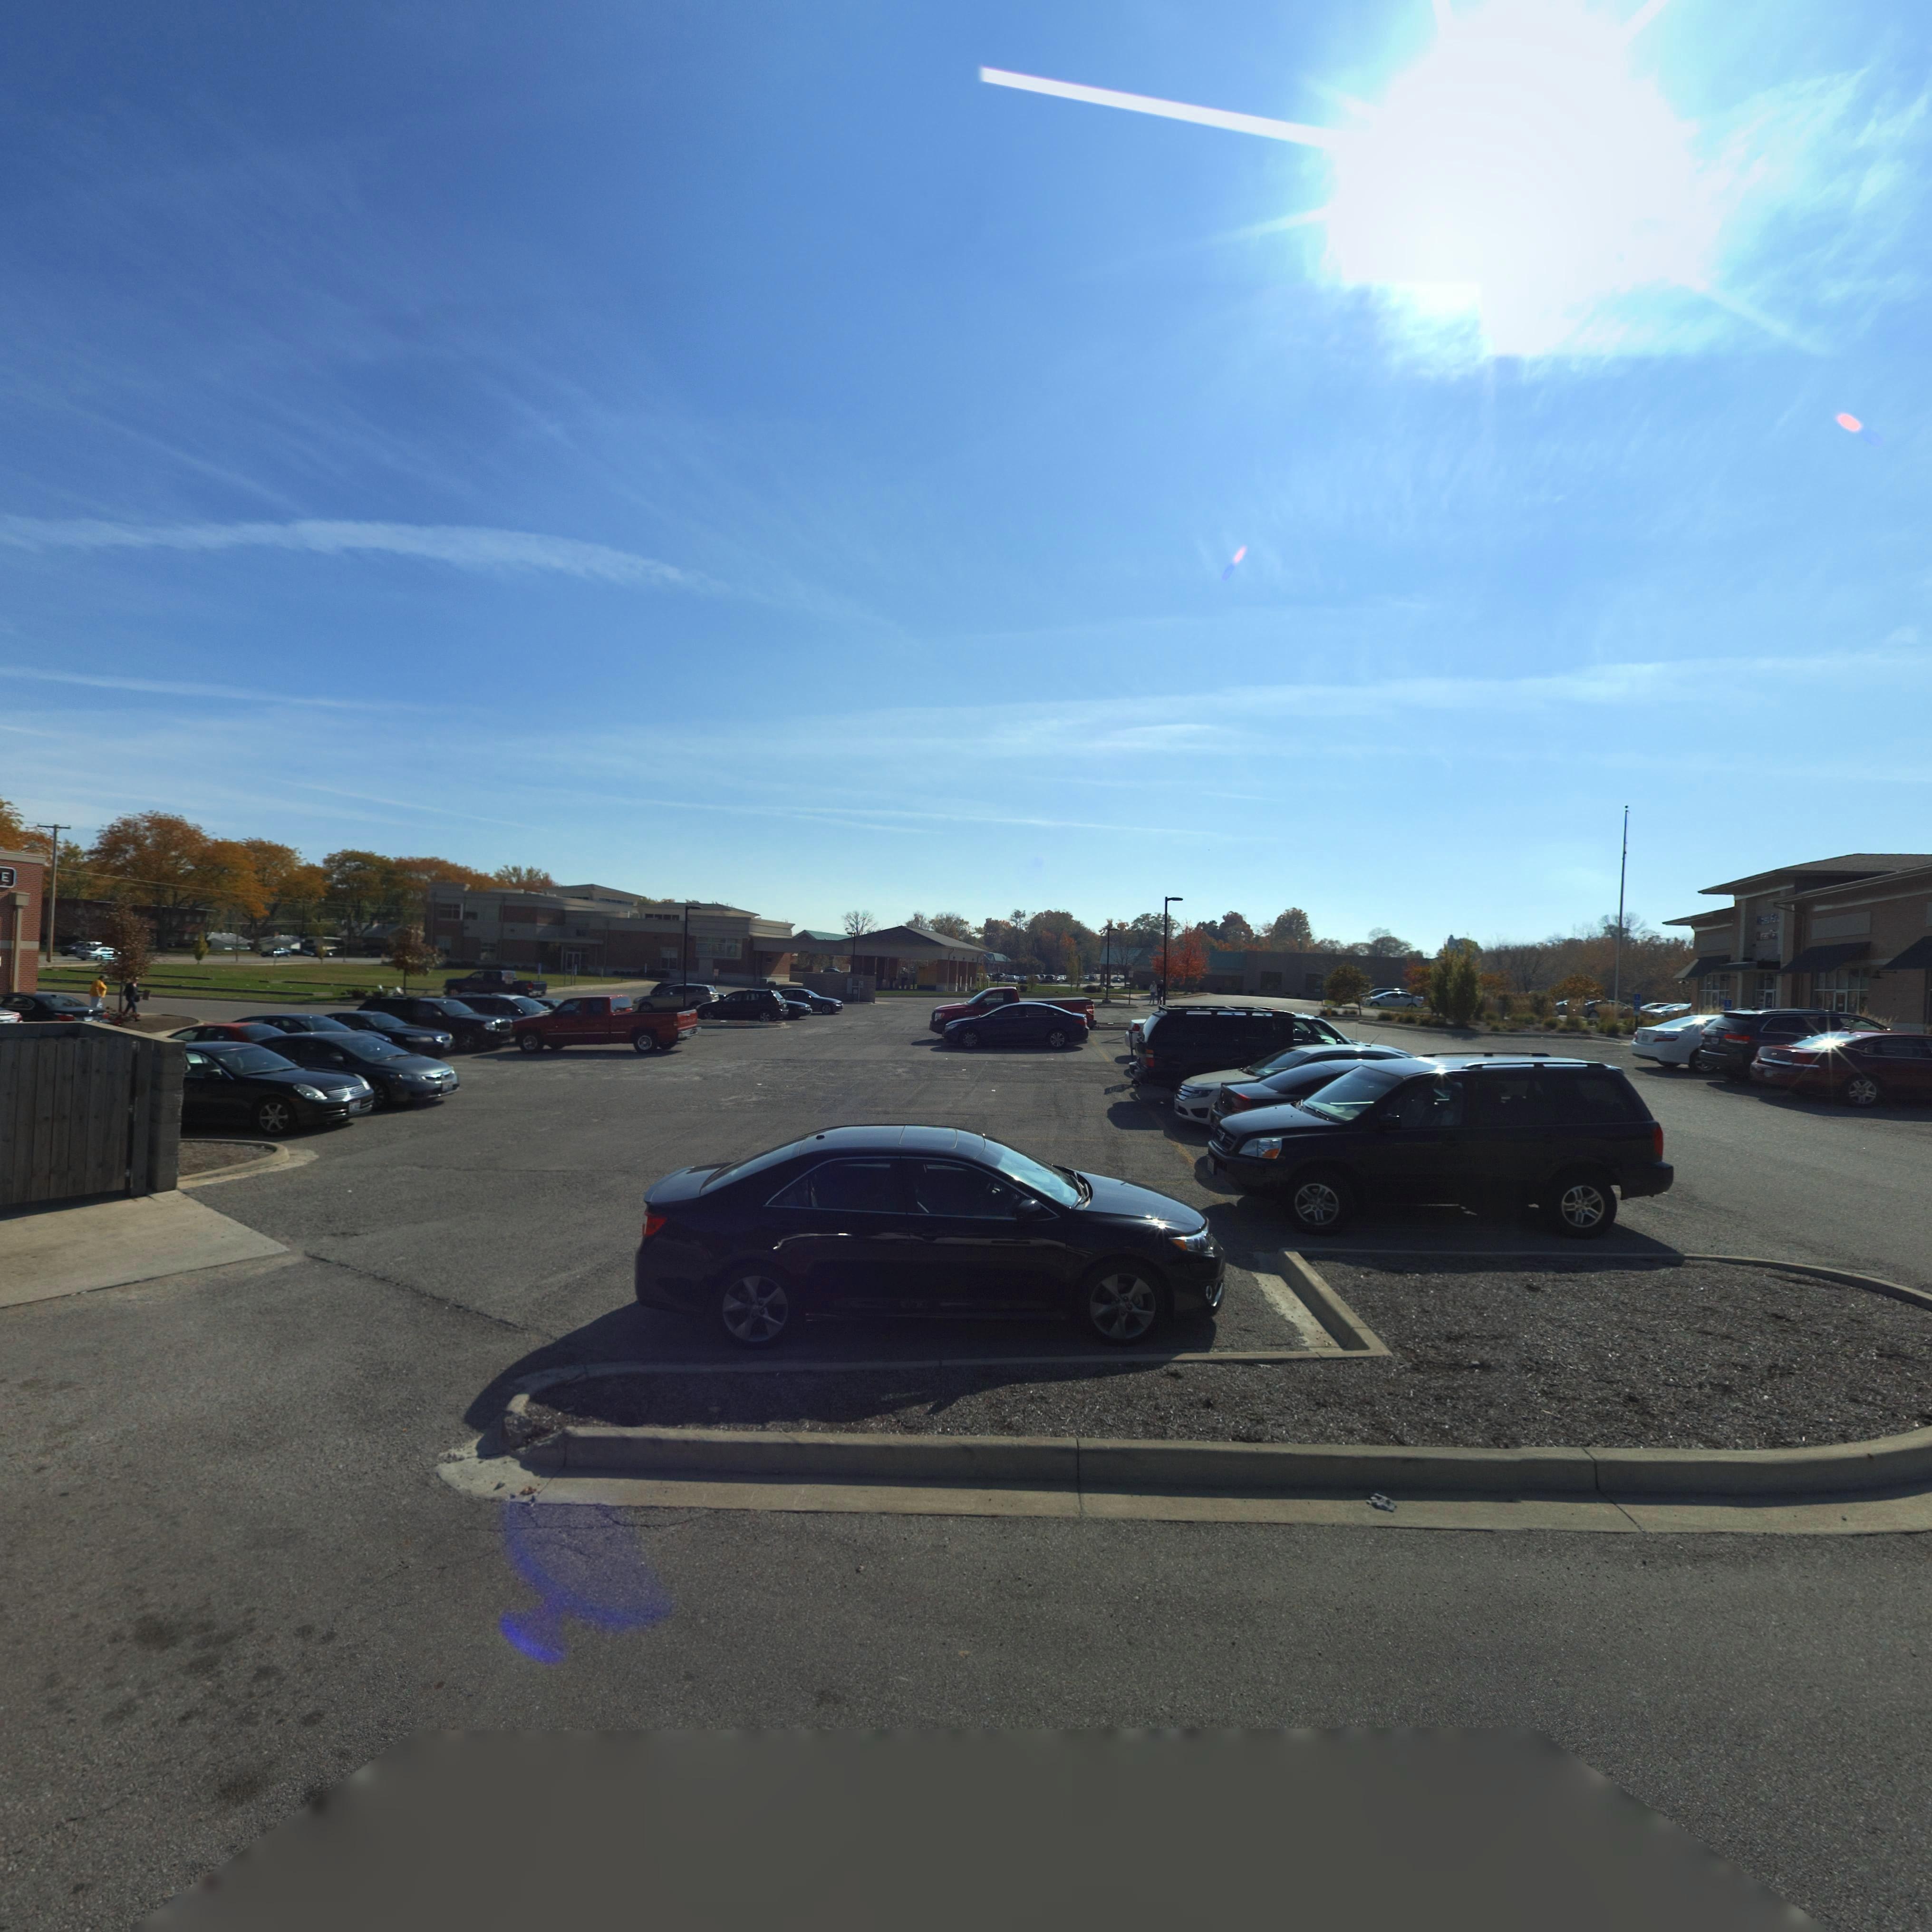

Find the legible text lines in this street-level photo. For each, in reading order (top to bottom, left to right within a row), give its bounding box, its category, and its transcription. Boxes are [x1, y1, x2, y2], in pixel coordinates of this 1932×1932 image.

[0, 870, 10, 883] BusinessName: E